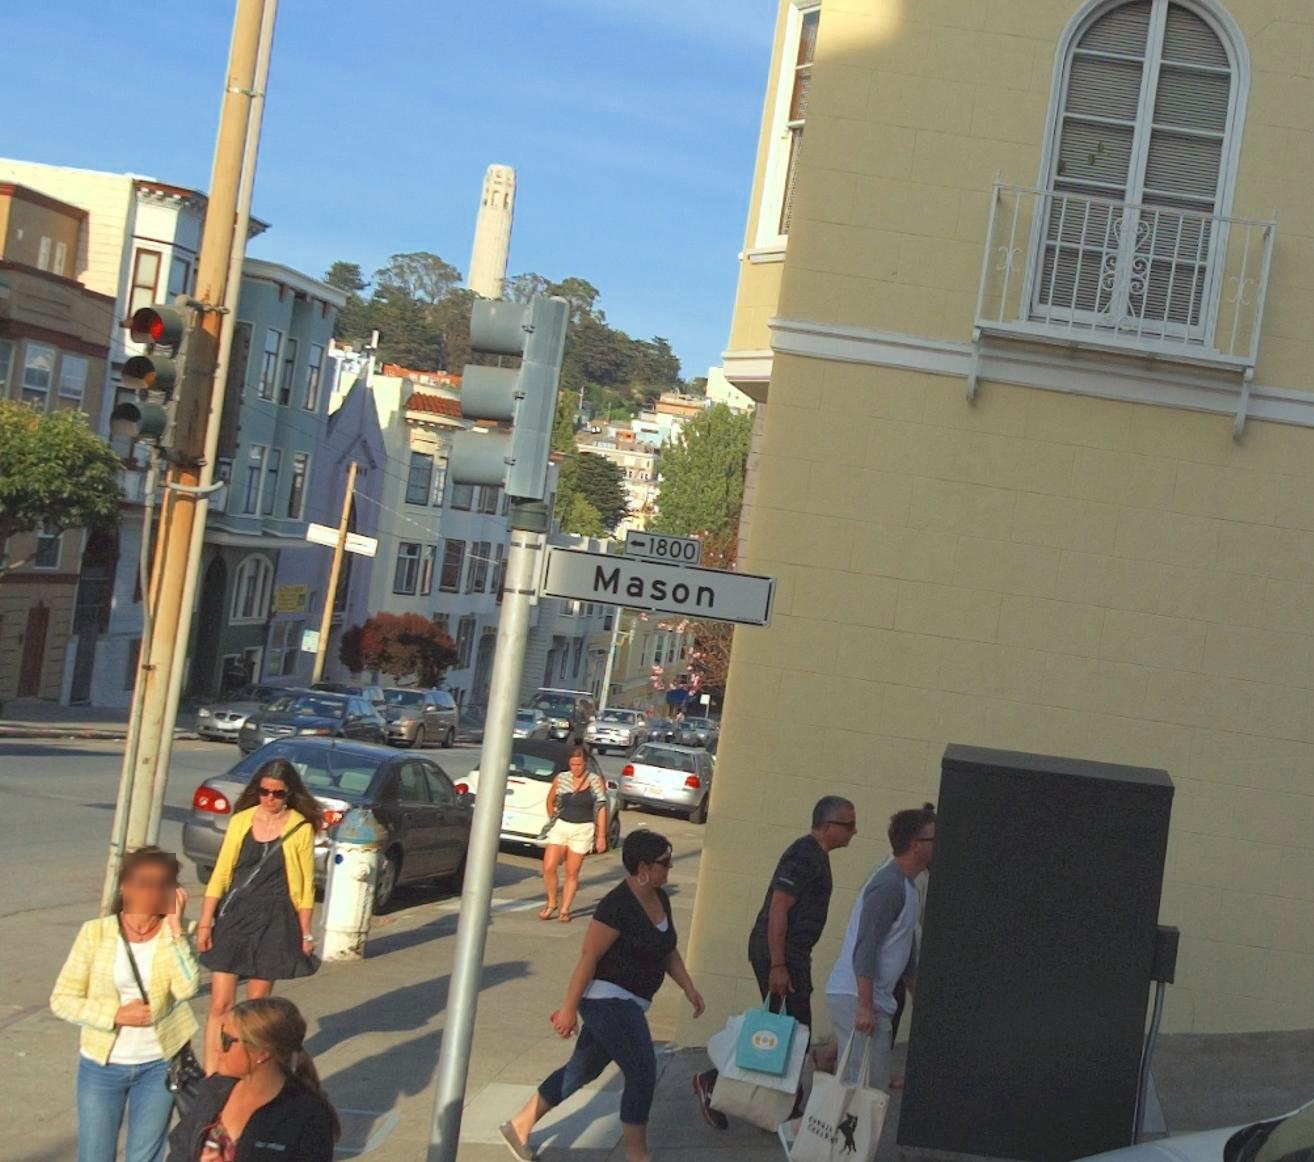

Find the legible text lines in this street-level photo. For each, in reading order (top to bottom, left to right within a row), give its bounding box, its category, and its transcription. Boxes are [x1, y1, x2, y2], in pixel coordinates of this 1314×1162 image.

[625, 534, 699, 563] StreetNumberRange: <-1800
[590, 559, 725, 612] StreetName: Mason